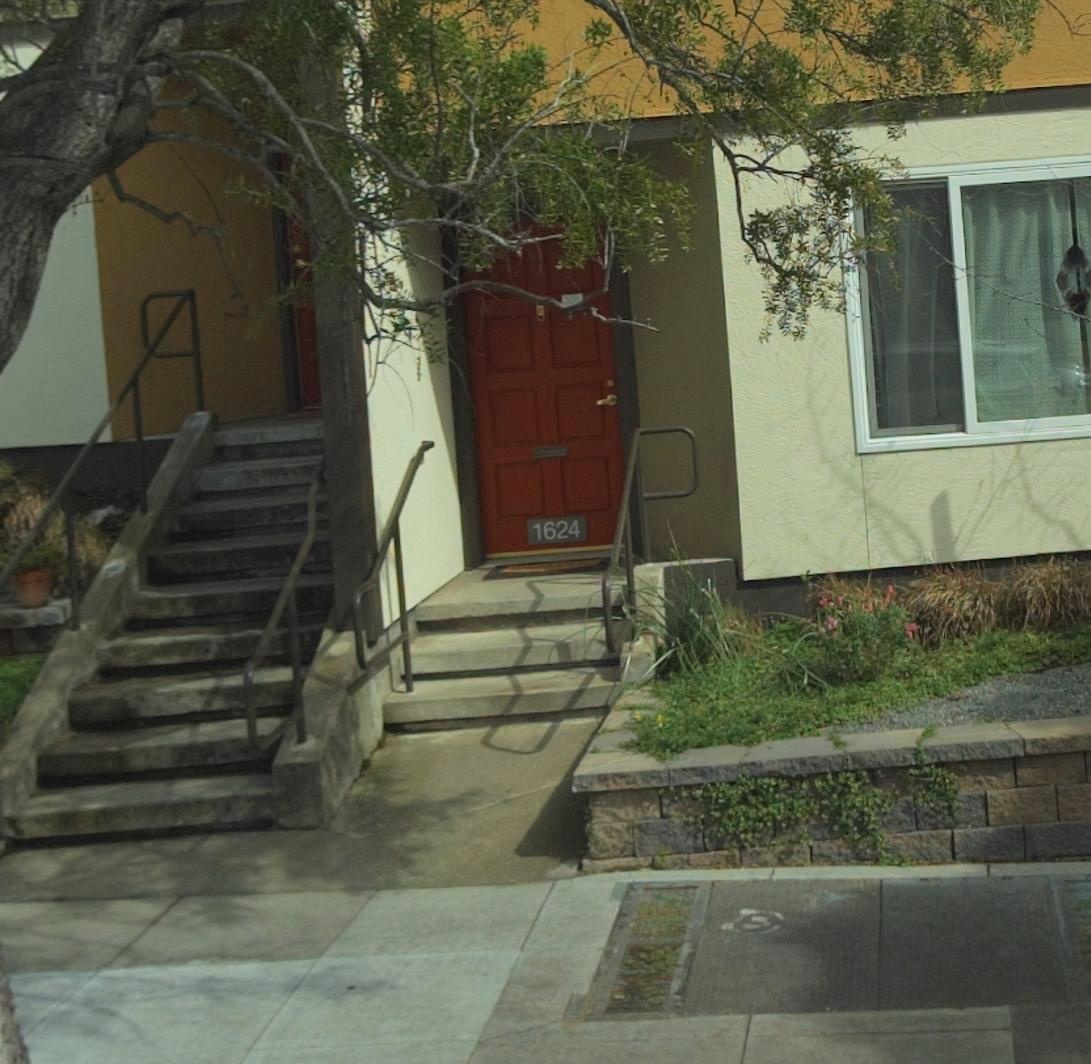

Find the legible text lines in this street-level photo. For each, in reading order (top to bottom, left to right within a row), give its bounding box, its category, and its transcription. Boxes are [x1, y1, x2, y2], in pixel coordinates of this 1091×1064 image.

[528, 517, 584, 544] StreetNumber: 1624